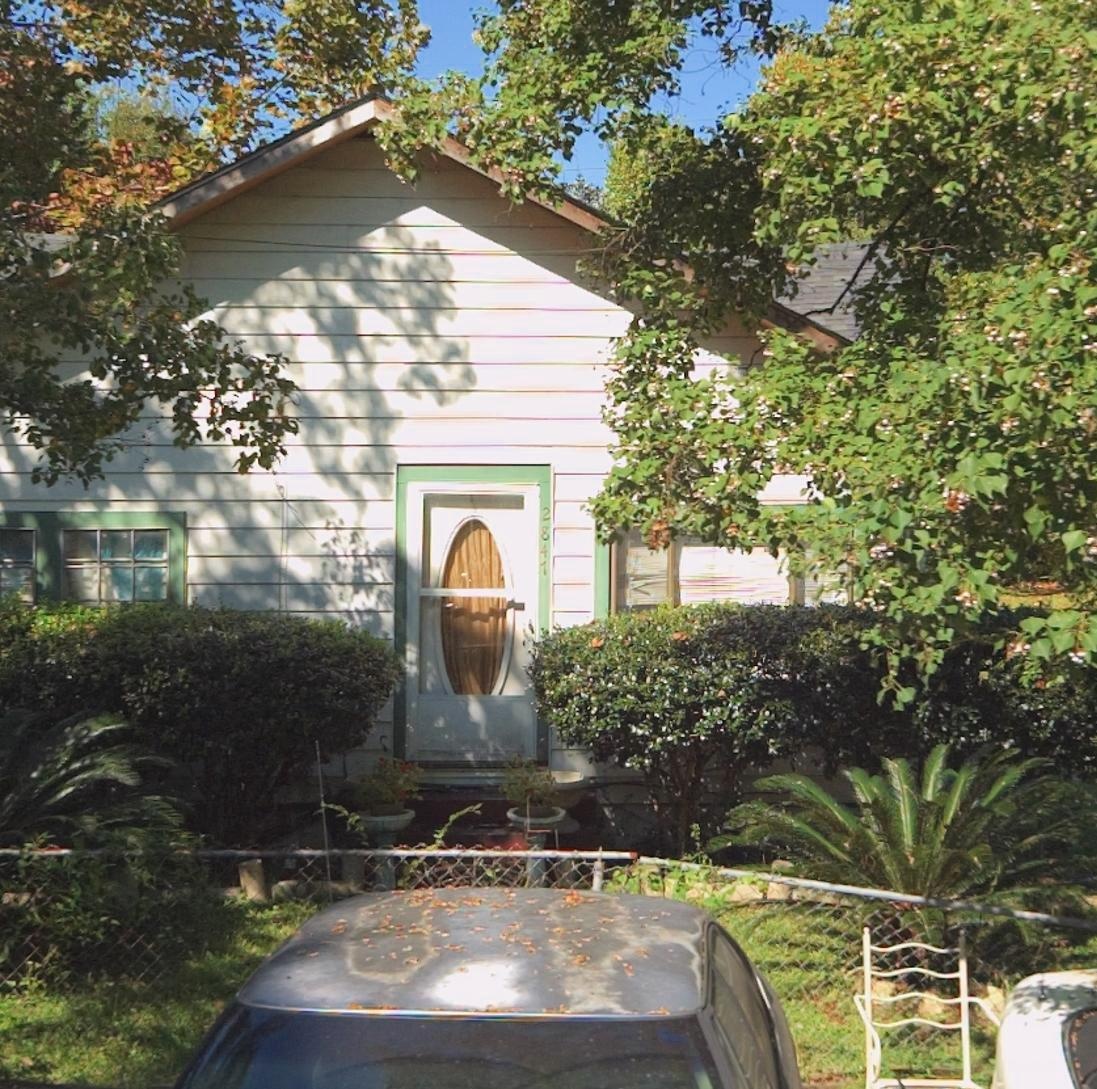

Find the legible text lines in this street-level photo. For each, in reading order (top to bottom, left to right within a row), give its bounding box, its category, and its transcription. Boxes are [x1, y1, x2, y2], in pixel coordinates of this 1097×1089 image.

[540, 505, 551, 577] StreetNumber: 2847